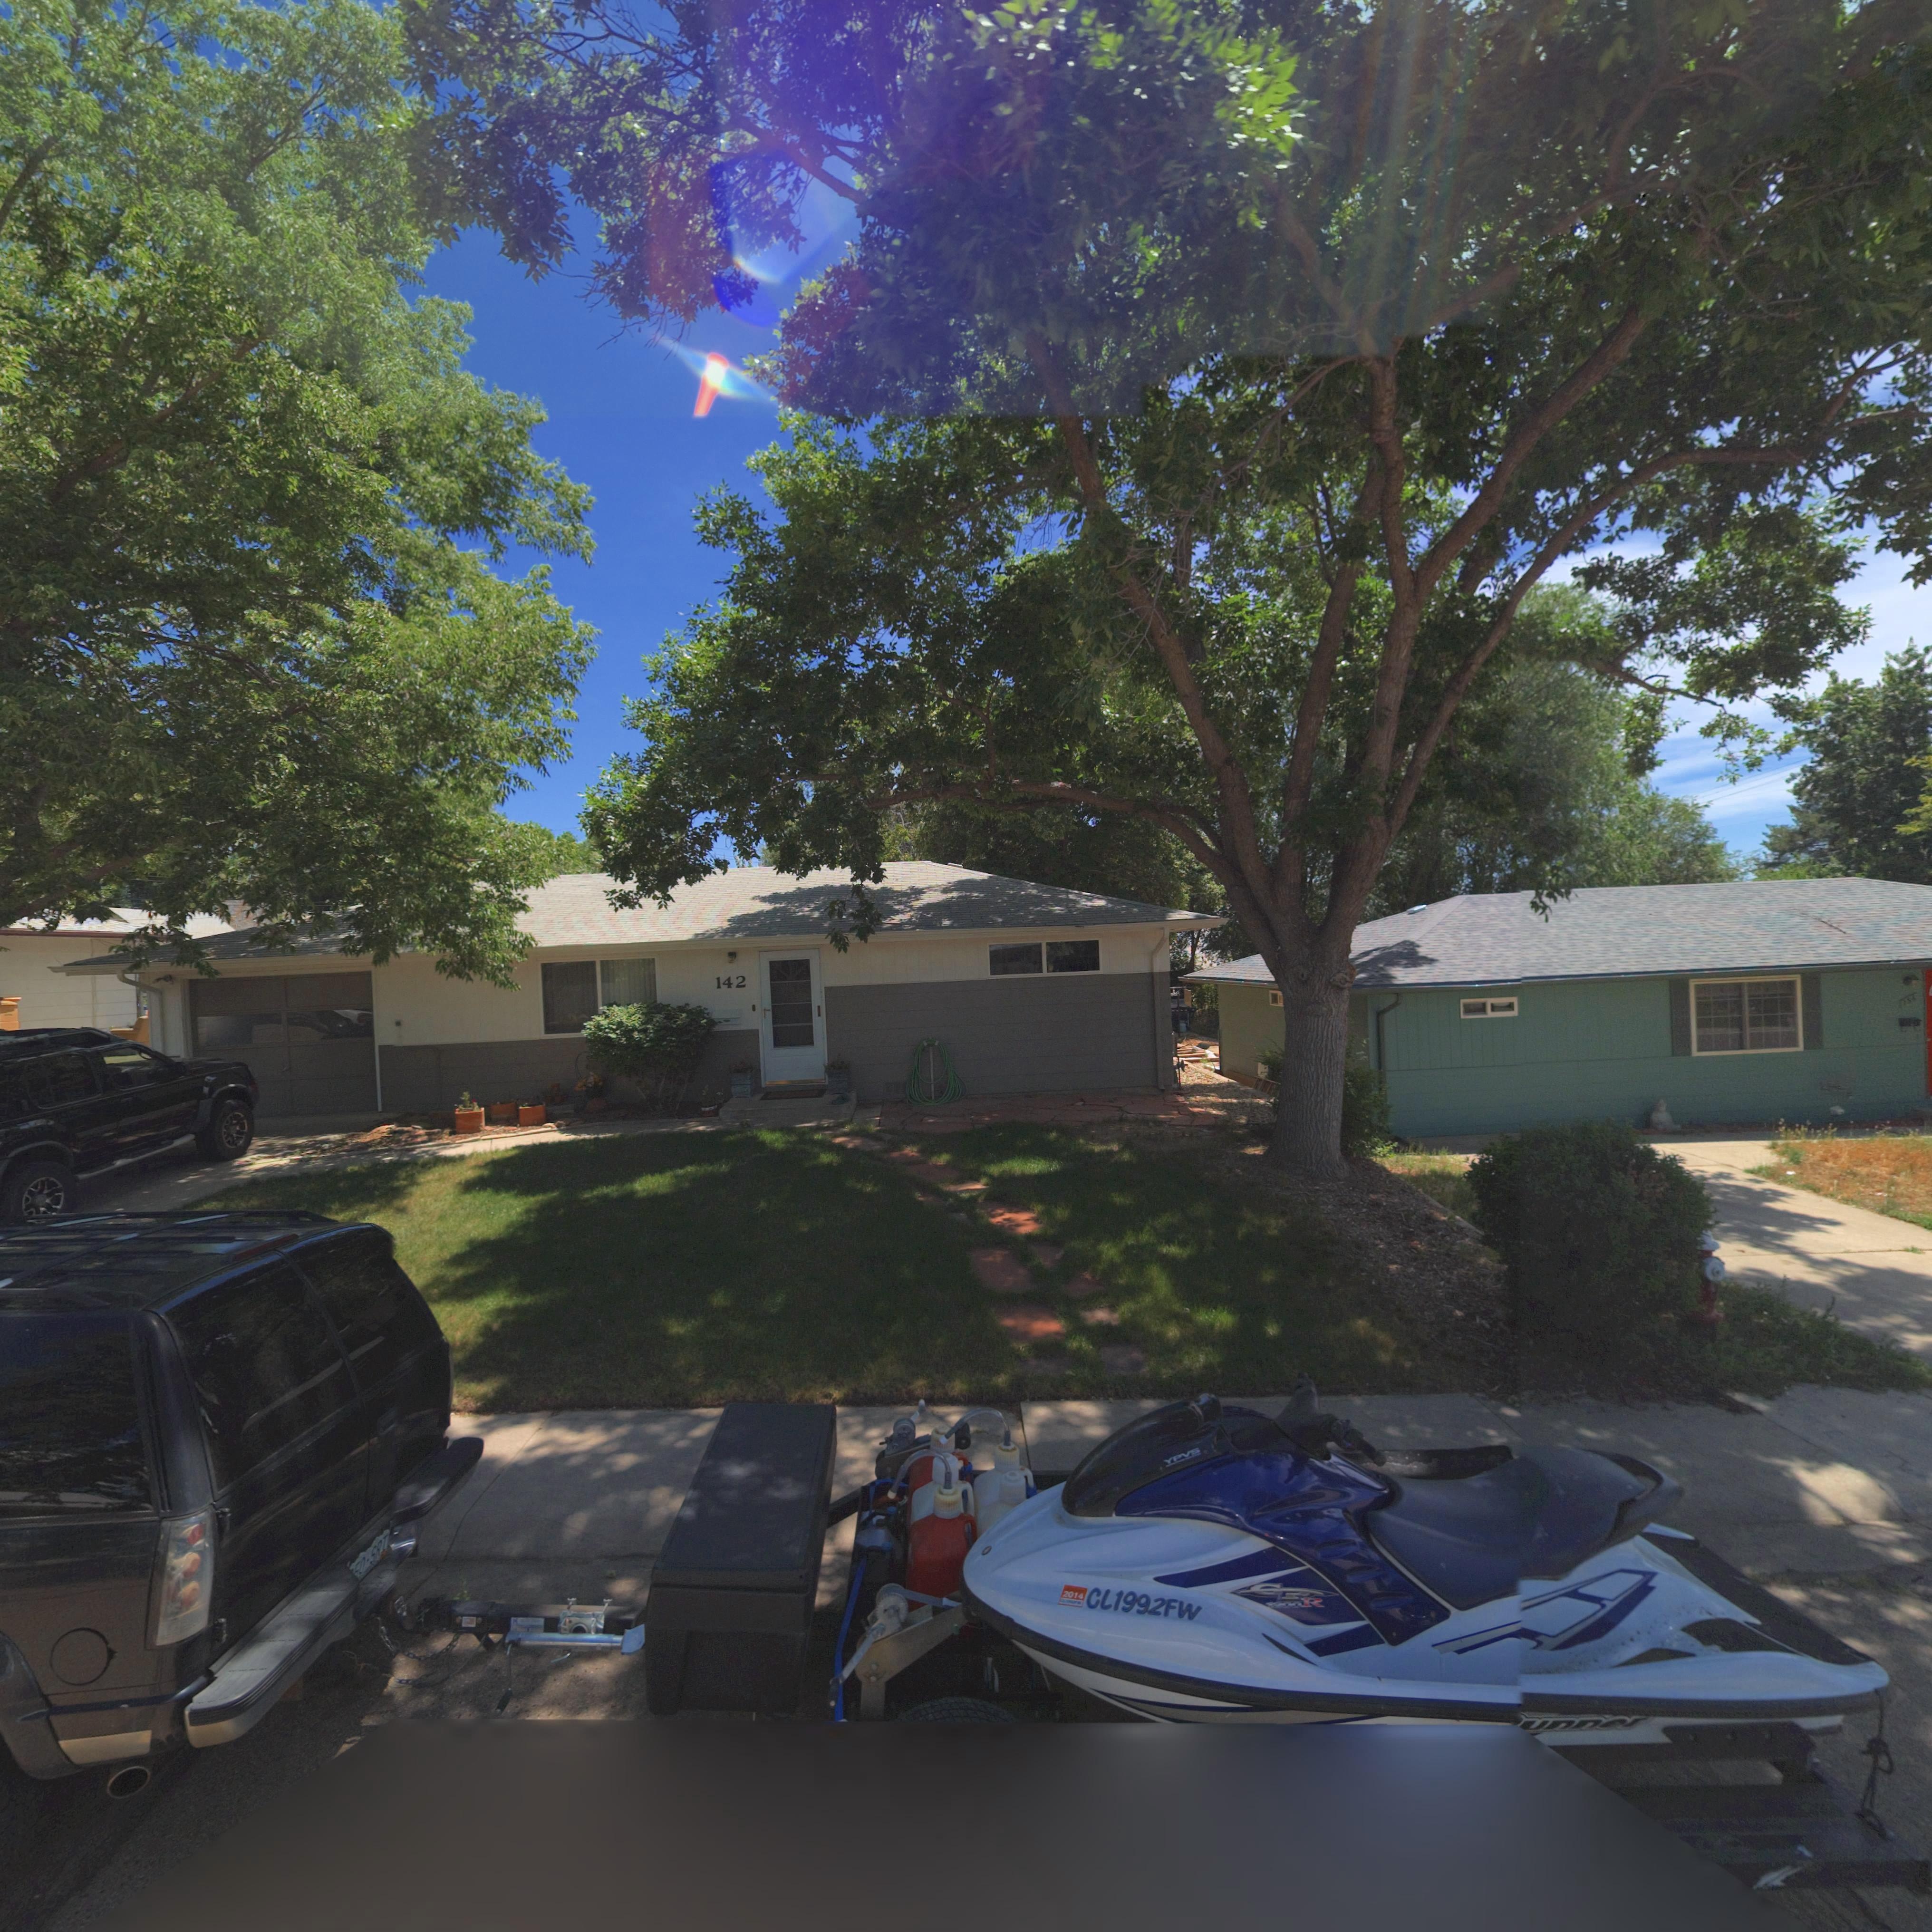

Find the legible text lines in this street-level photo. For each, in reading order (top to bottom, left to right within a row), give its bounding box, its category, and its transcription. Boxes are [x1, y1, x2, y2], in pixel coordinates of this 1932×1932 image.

[715, 975, 747, 989] StreetNumber: 142
[1898, 991, 1917, 1008] StreetNumber: 17**